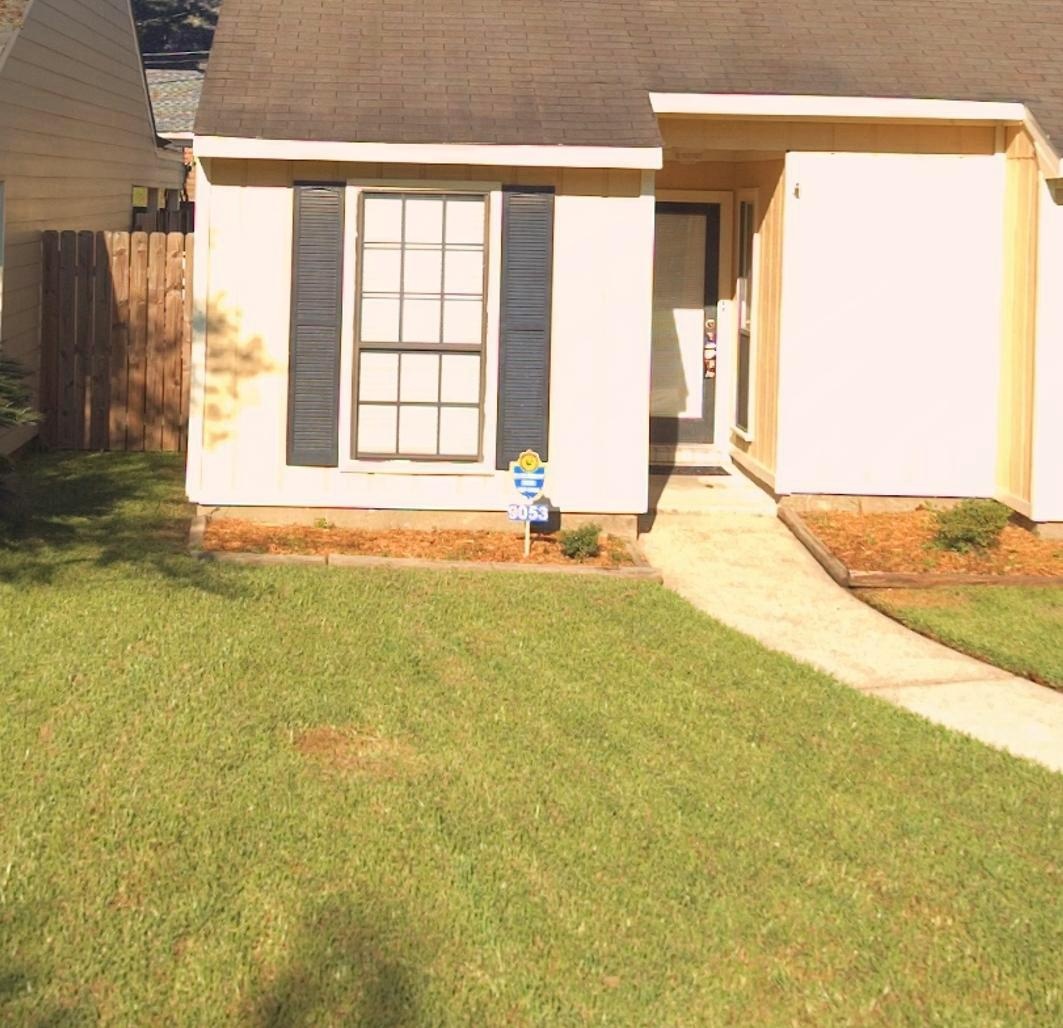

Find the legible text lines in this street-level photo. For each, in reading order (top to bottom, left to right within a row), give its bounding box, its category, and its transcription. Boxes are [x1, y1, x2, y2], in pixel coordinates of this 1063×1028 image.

[507, 506, 548, 521] StreetNumber: 9053